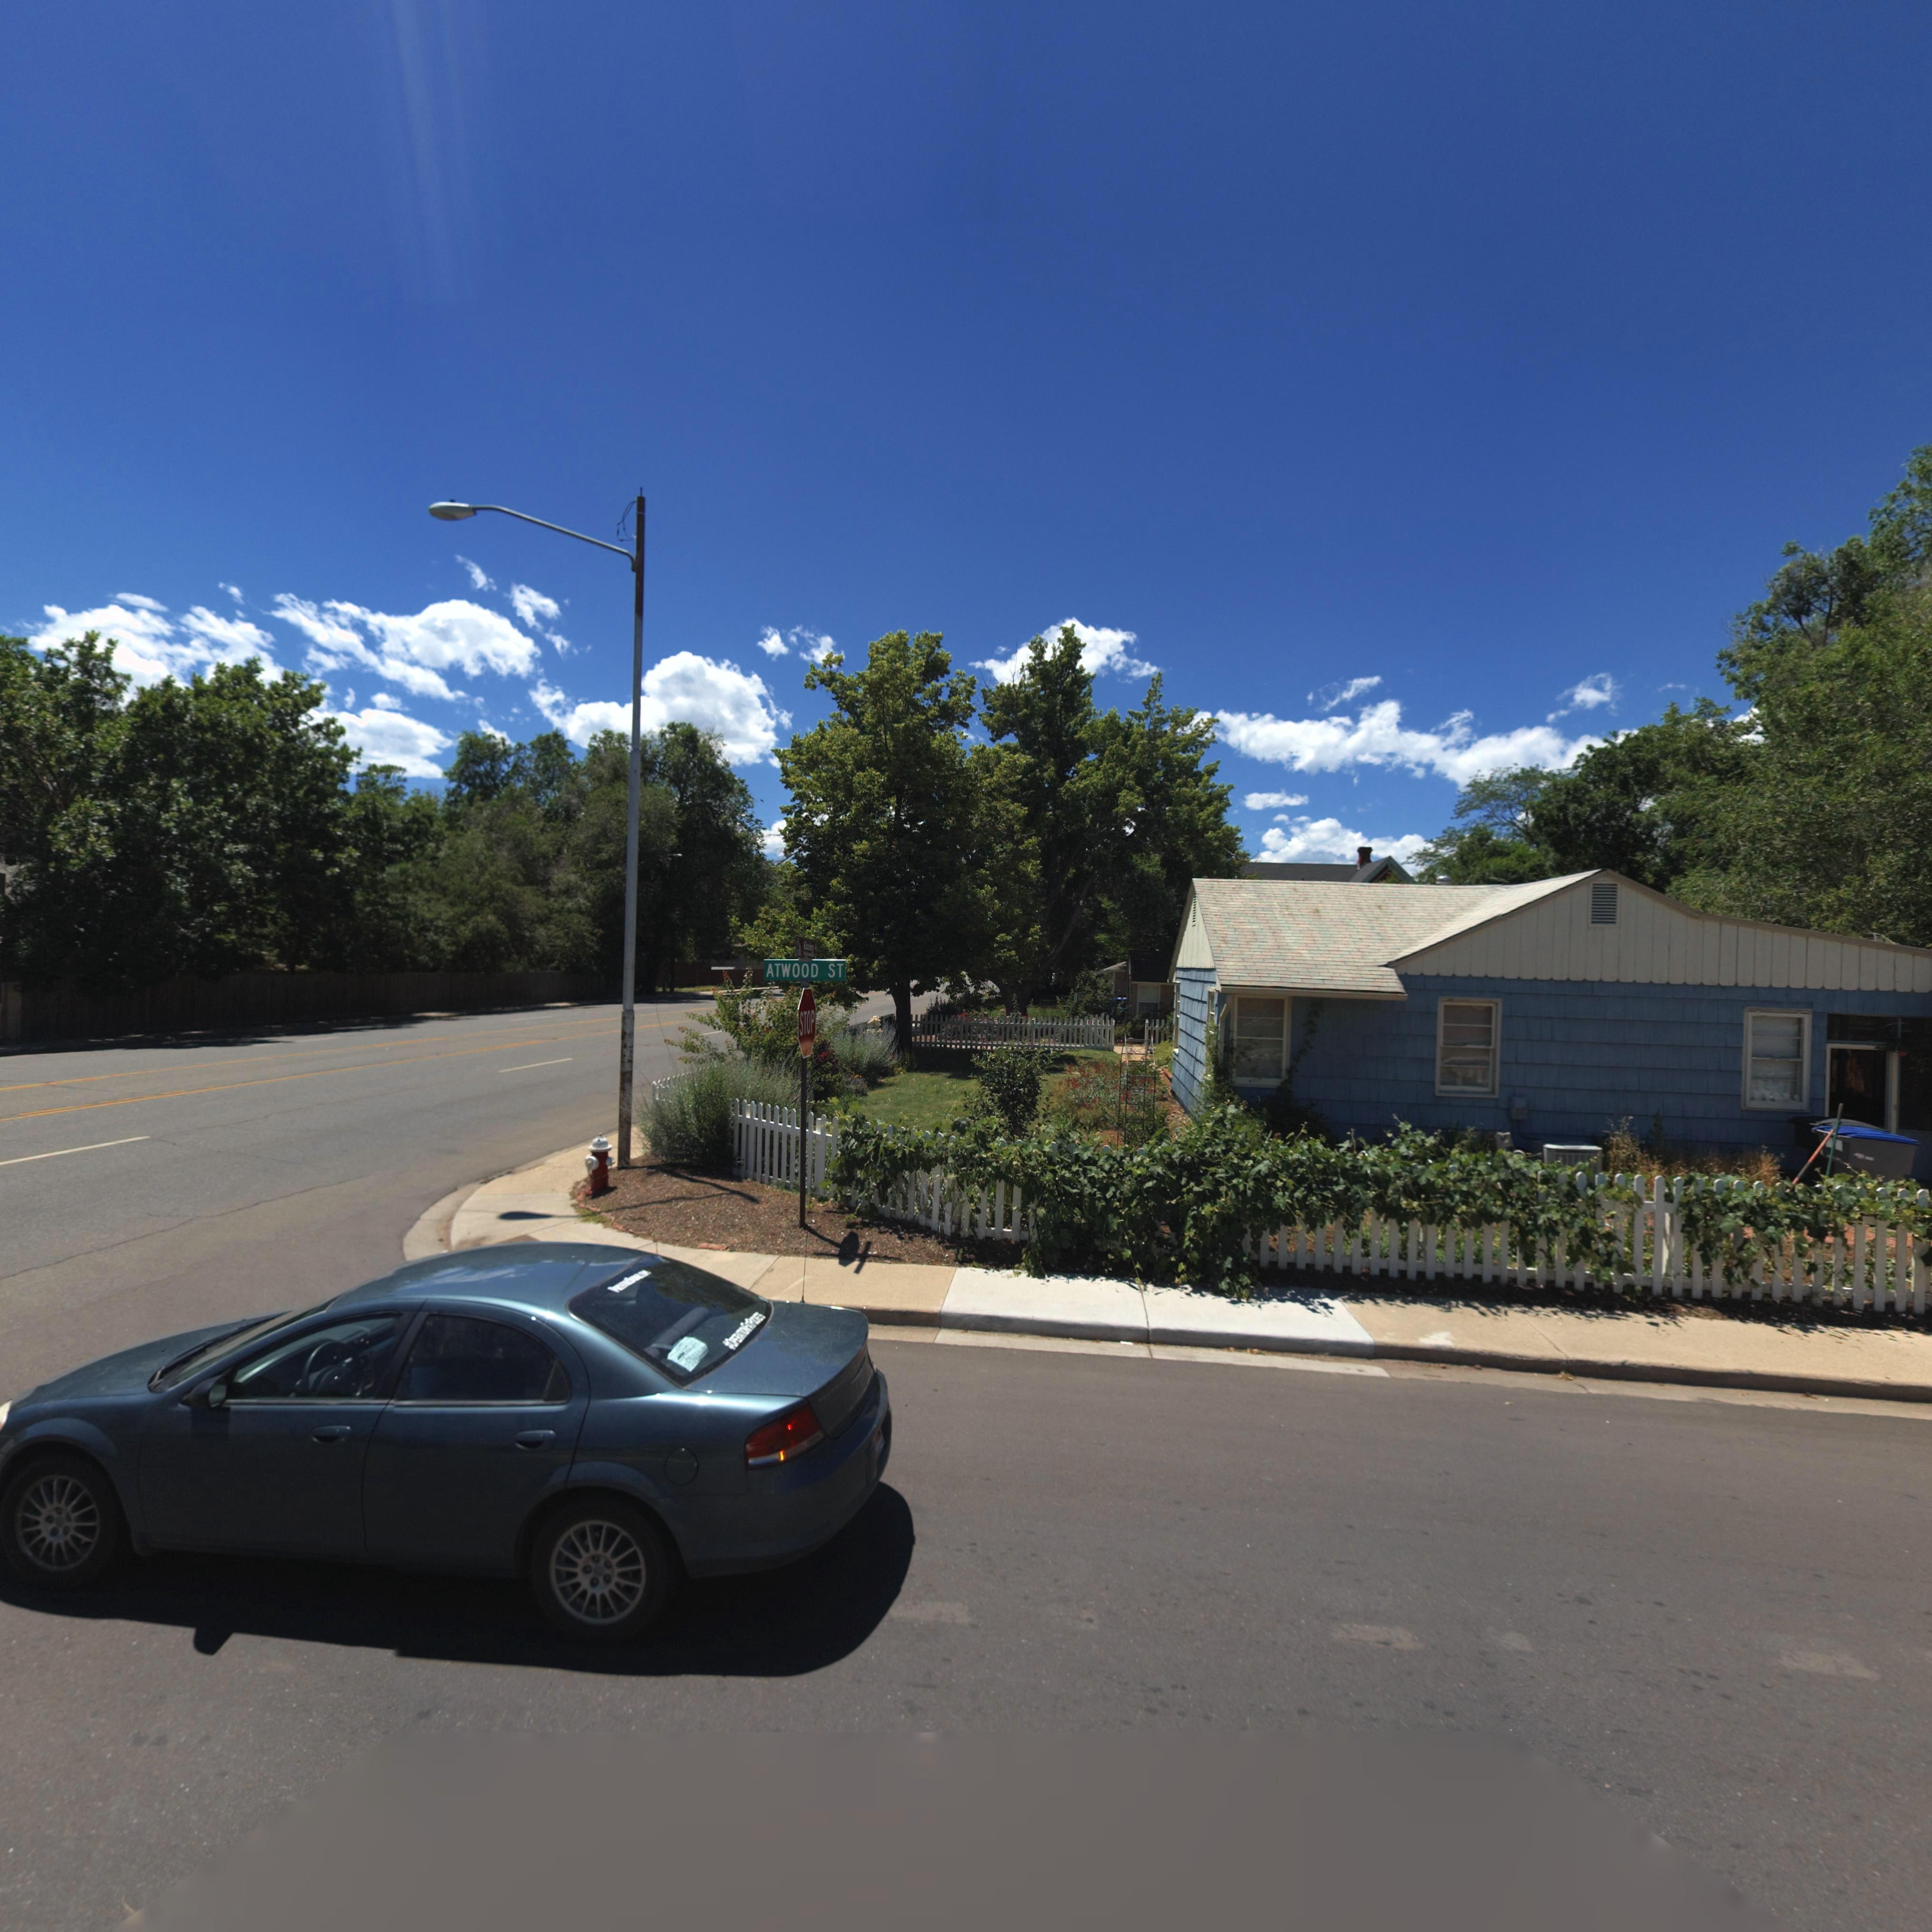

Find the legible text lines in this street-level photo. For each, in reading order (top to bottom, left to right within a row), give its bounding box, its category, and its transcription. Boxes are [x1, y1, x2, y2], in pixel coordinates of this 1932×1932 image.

[766, 963, 844, 977] StreetName: ATWOOD ST